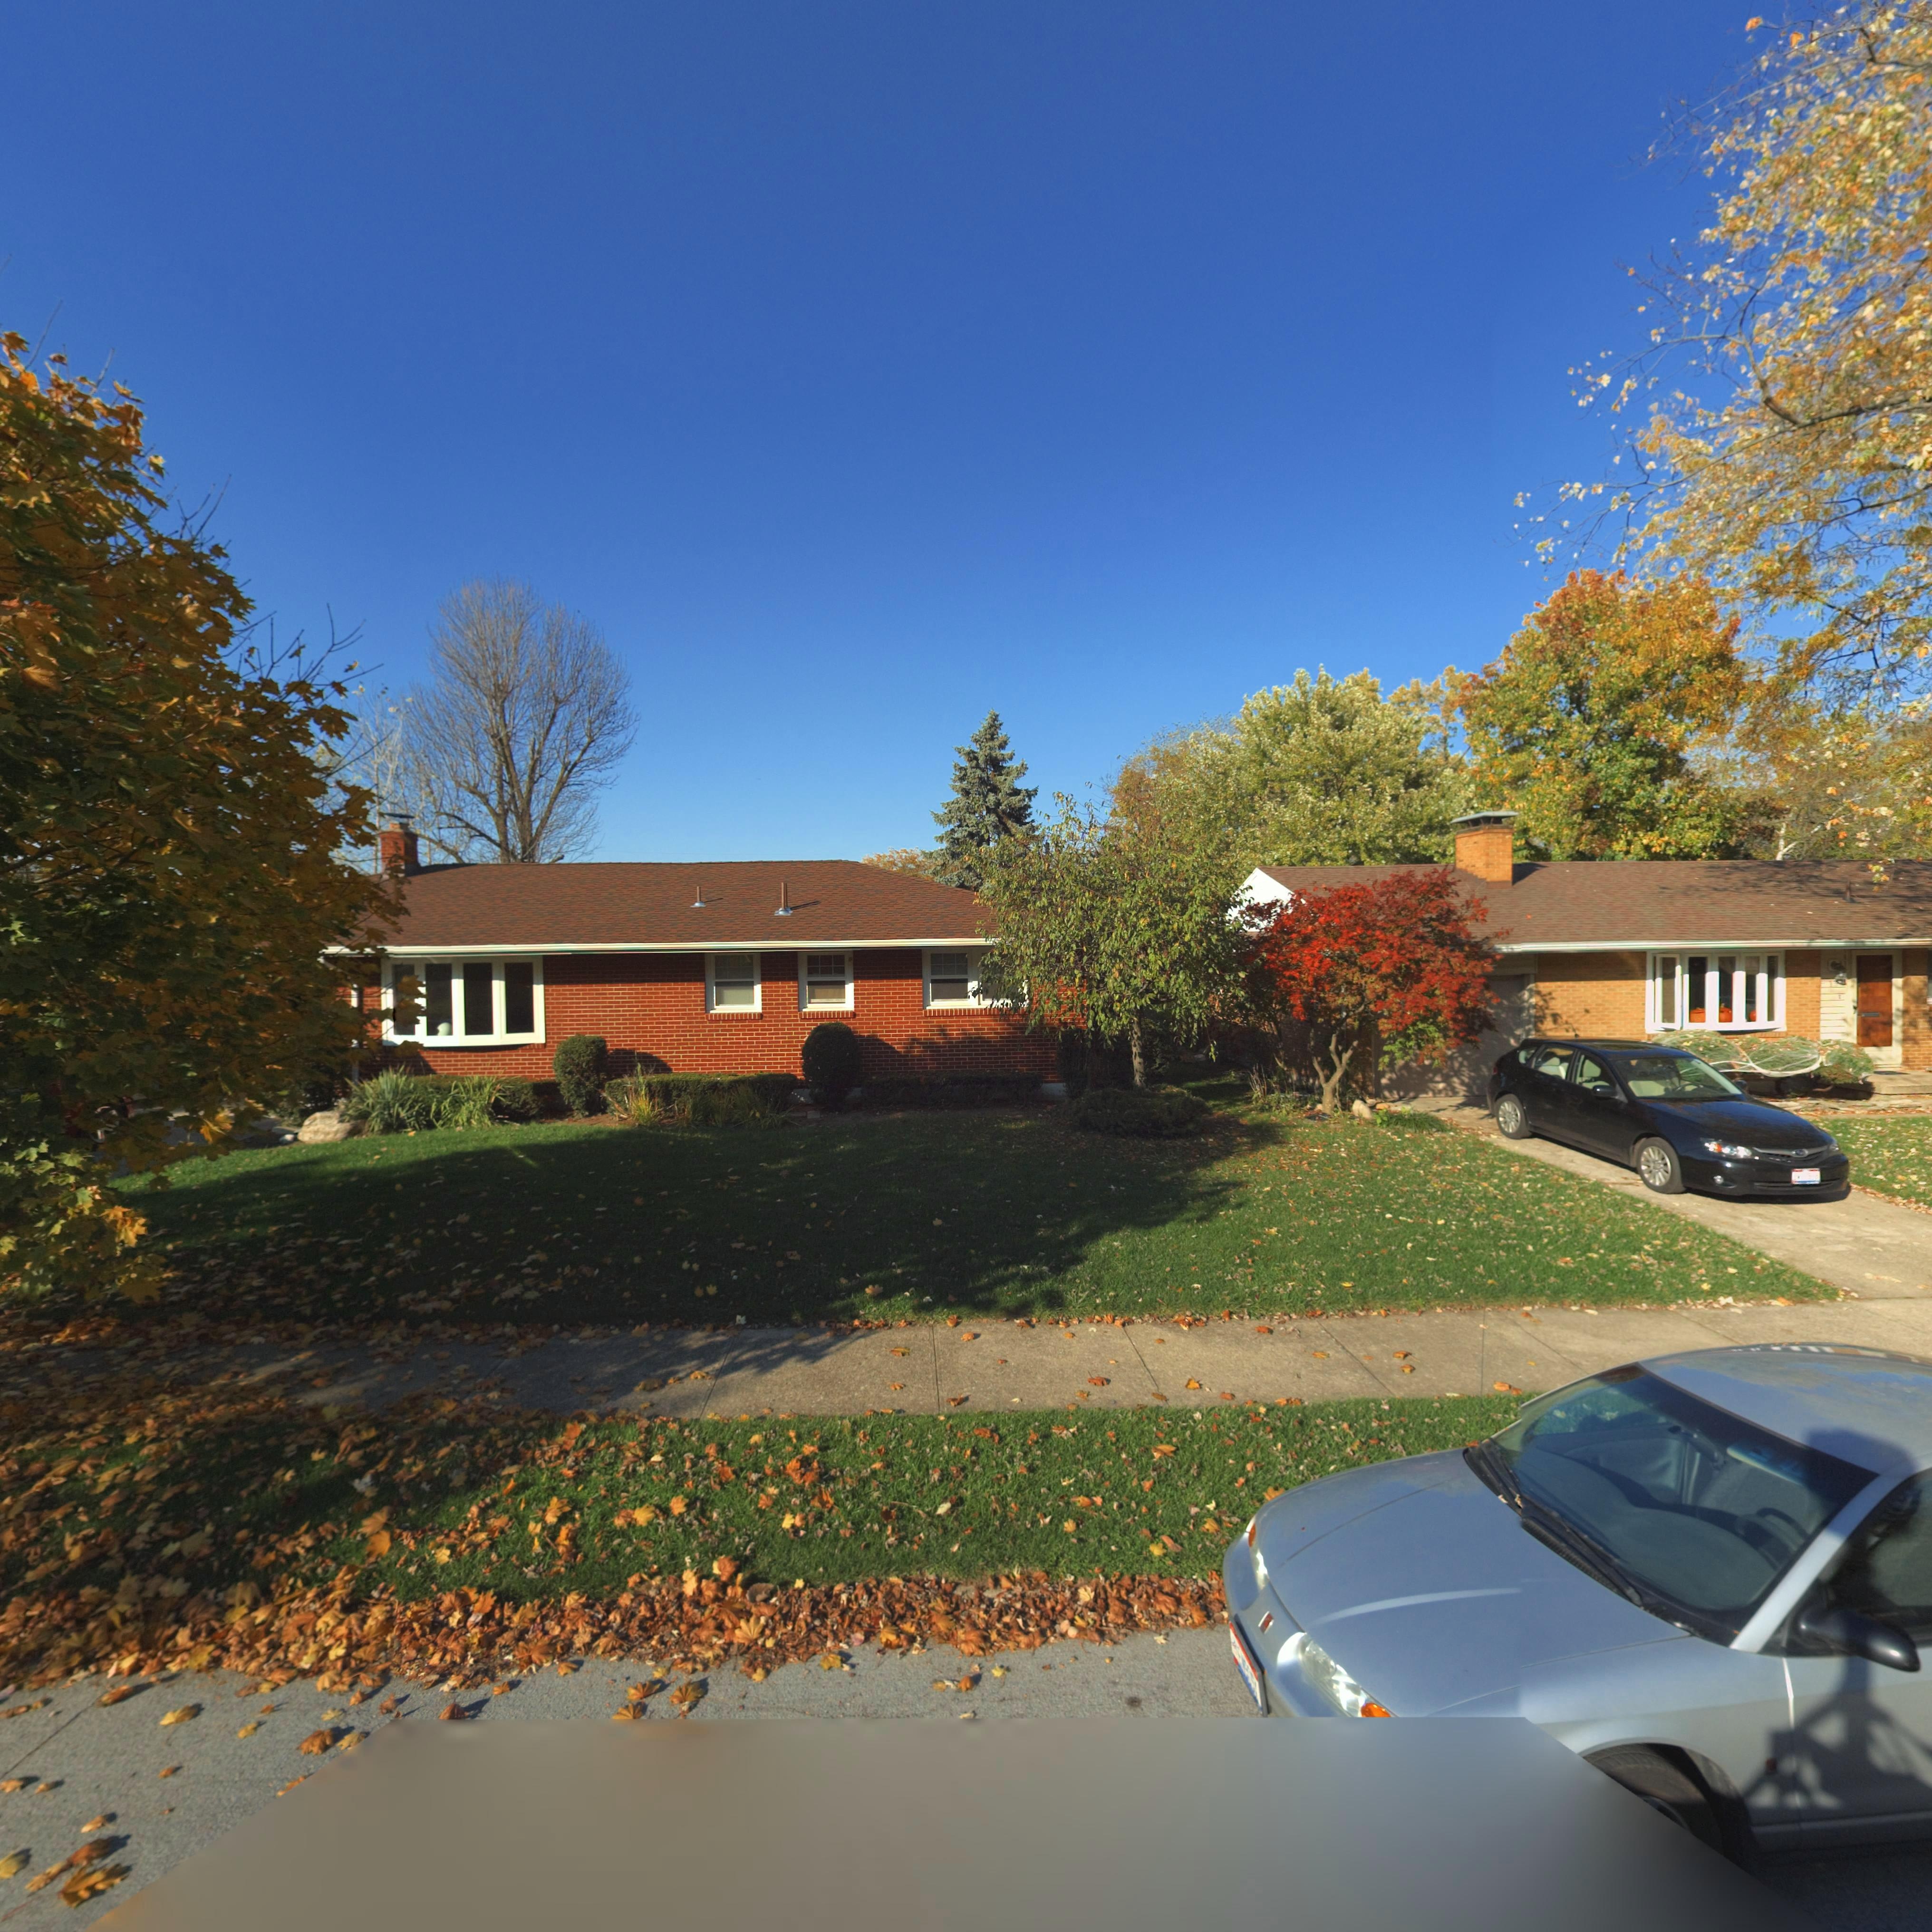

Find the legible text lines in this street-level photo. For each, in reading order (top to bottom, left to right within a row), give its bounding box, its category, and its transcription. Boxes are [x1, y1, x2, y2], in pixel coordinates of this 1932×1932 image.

[1828, 980, 1838, 987] StreetNumber: 1*